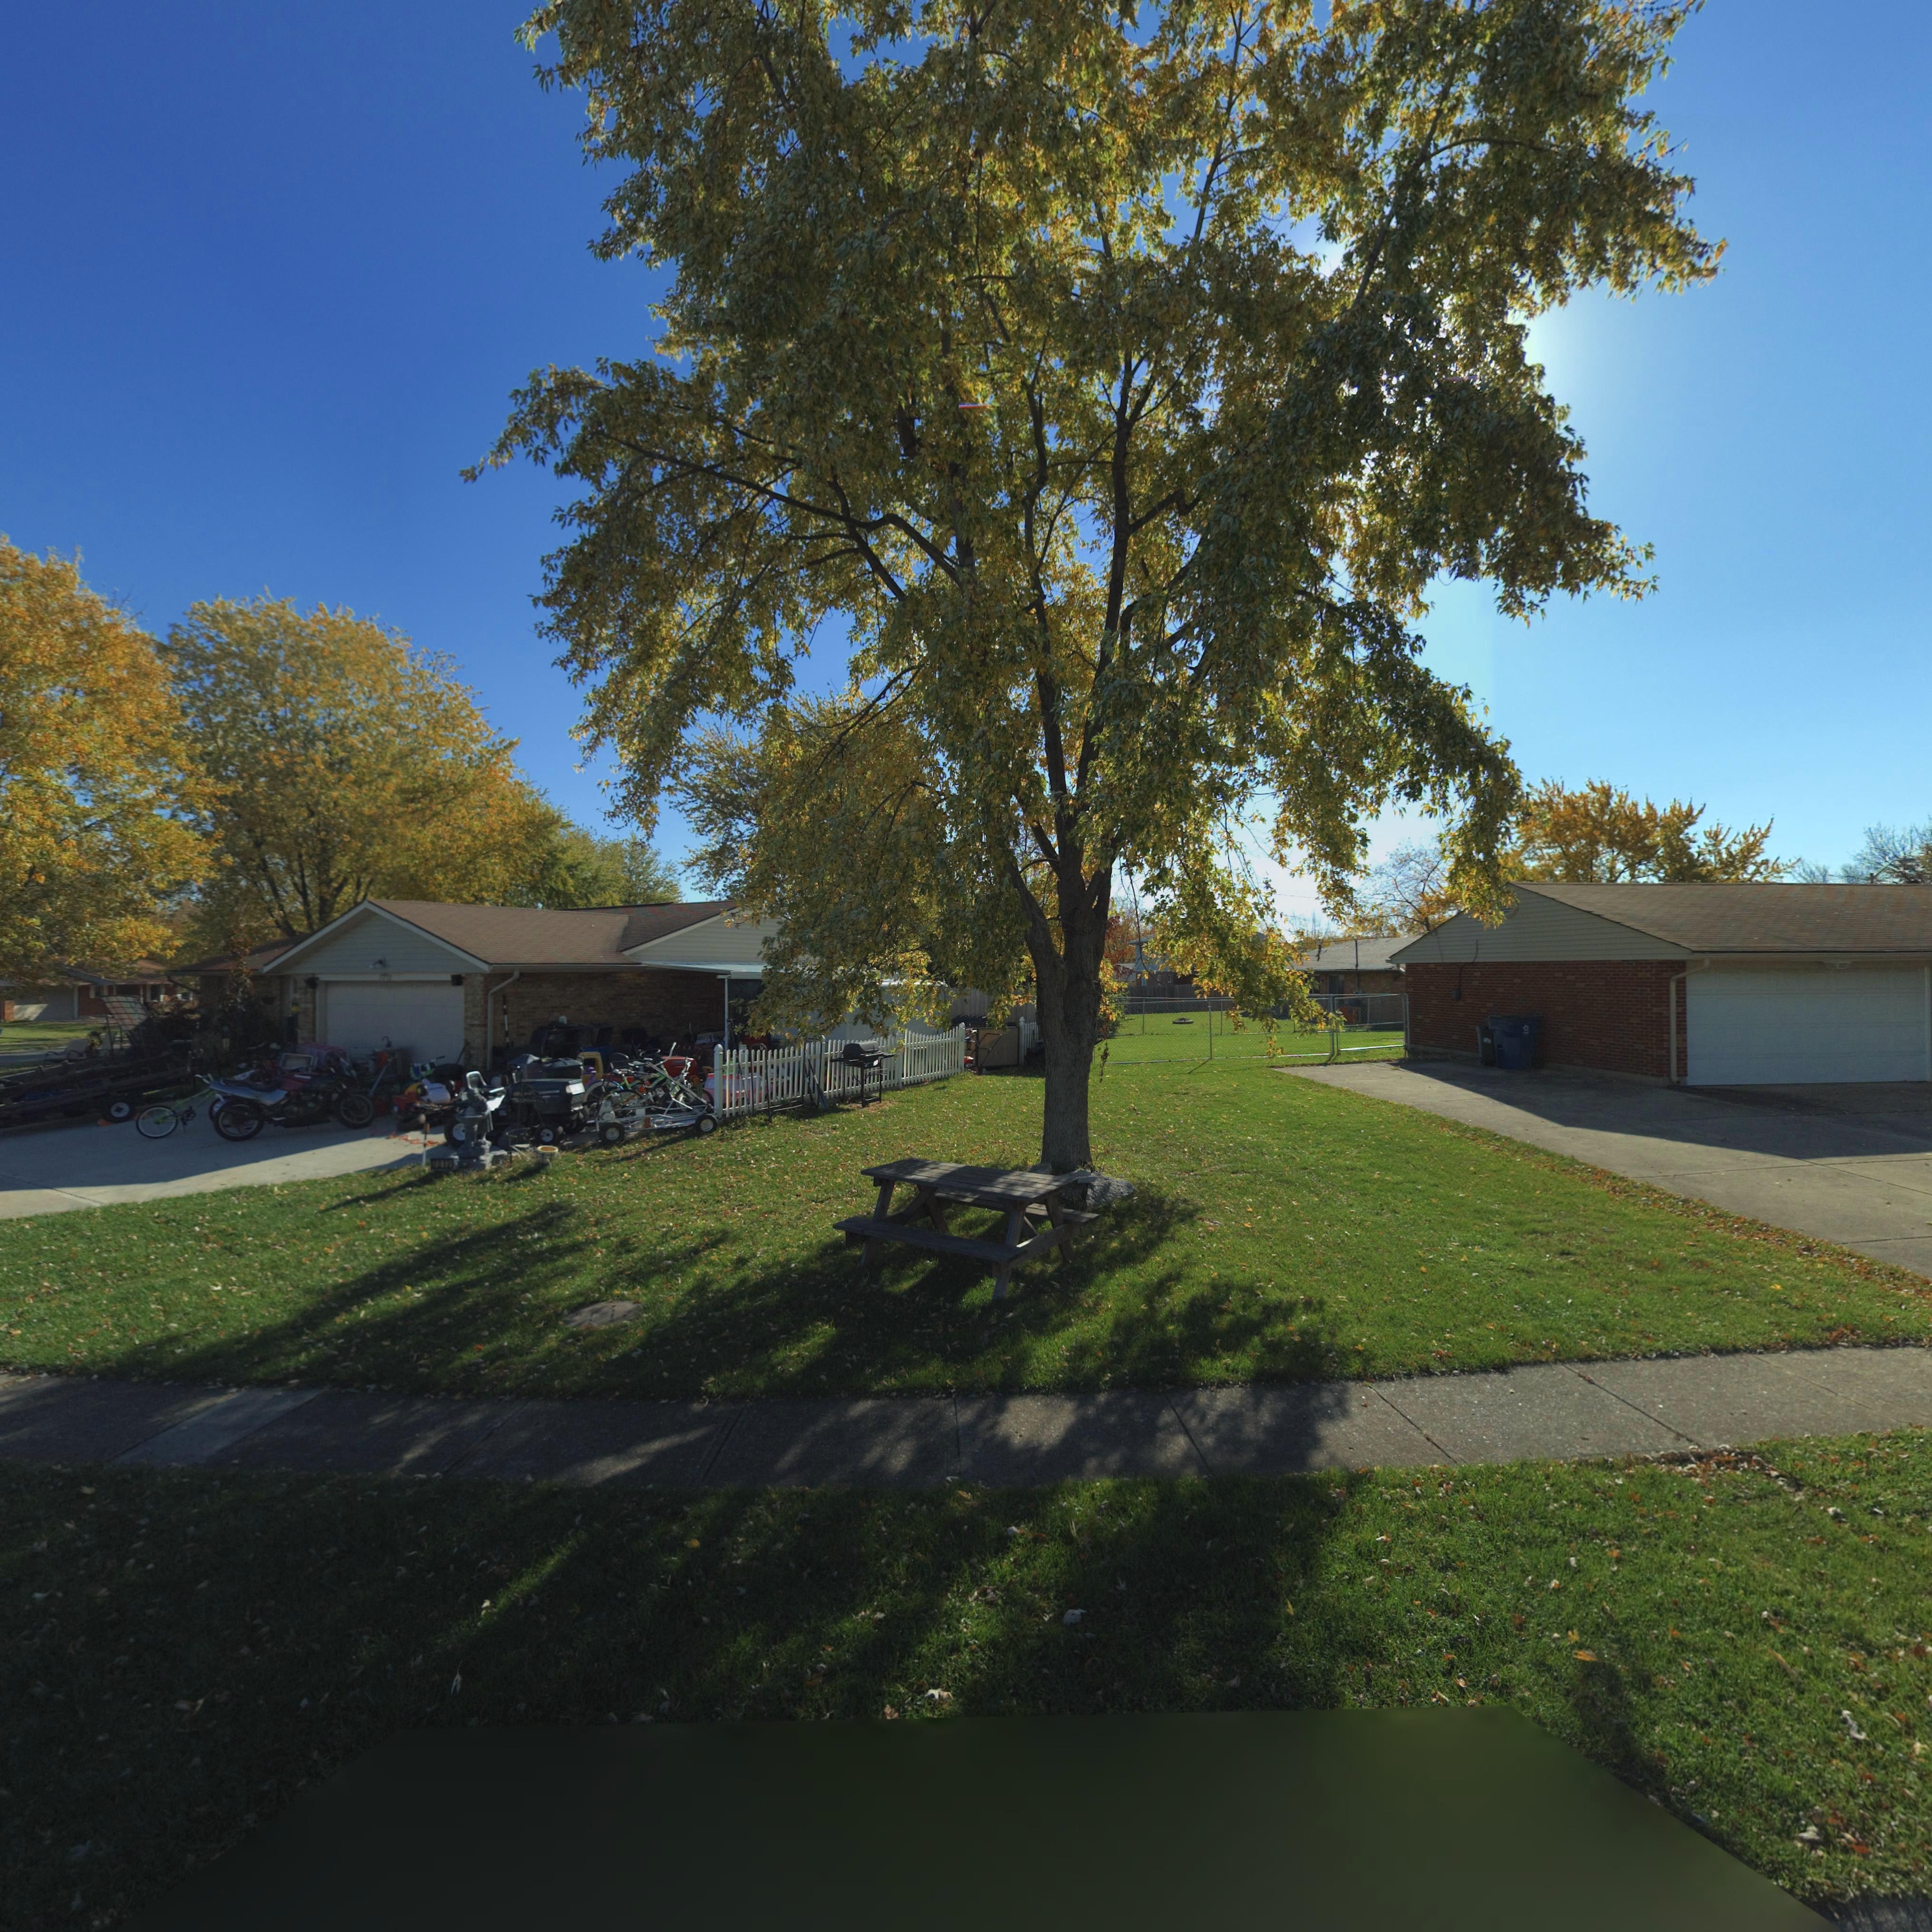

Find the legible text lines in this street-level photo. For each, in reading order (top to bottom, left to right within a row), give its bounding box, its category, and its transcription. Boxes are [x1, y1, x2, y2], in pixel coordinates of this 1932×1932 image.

[431, 1158, 452, 1169] StreetNumber: **12